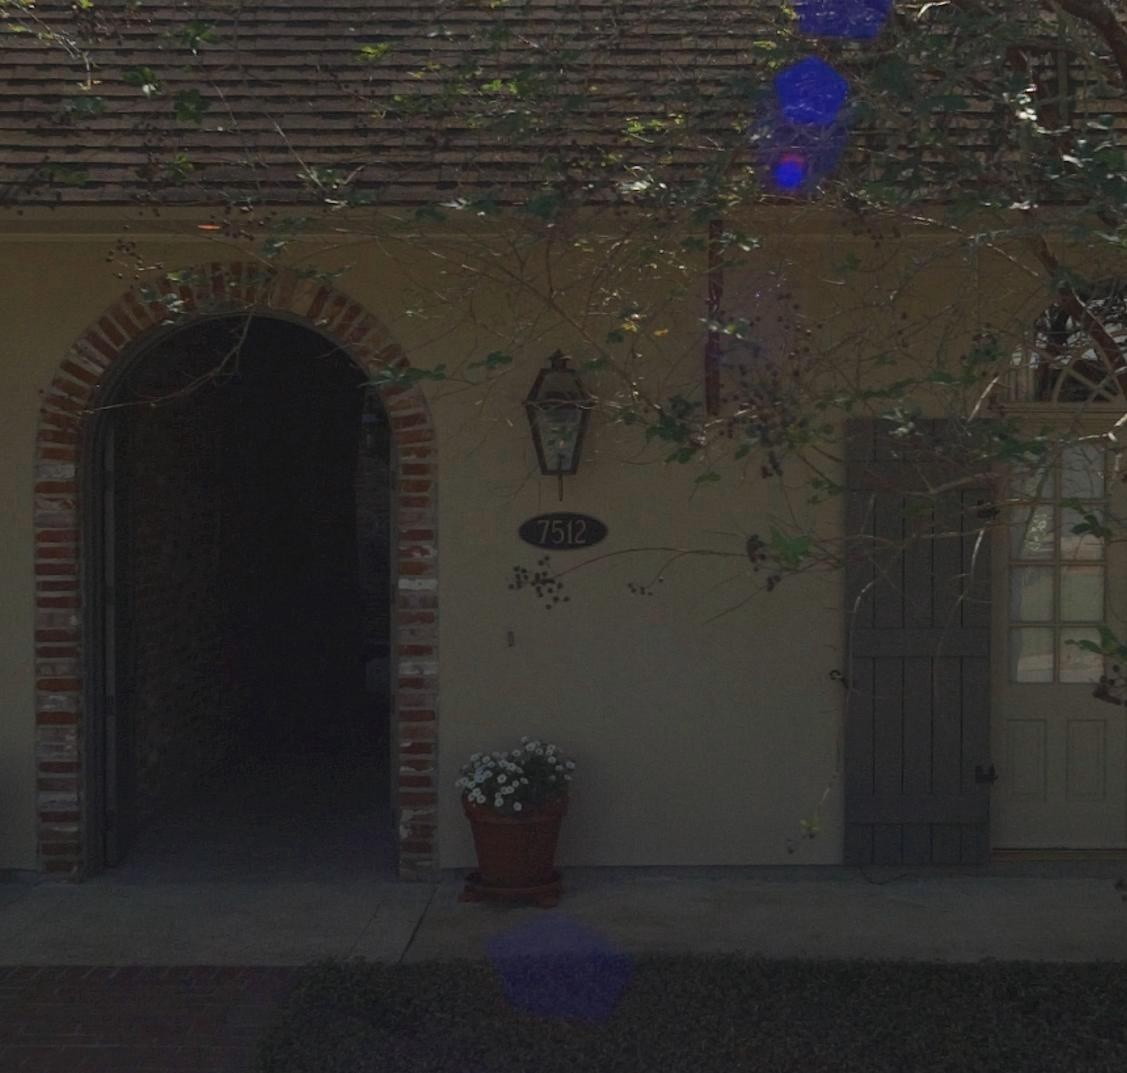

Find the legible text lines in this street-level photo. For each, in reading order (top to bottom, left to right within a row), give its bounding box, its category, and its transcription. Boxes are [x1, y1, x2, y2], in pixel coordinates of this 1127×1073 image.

[534, 516, 590, 548] StreetNumber: 7512